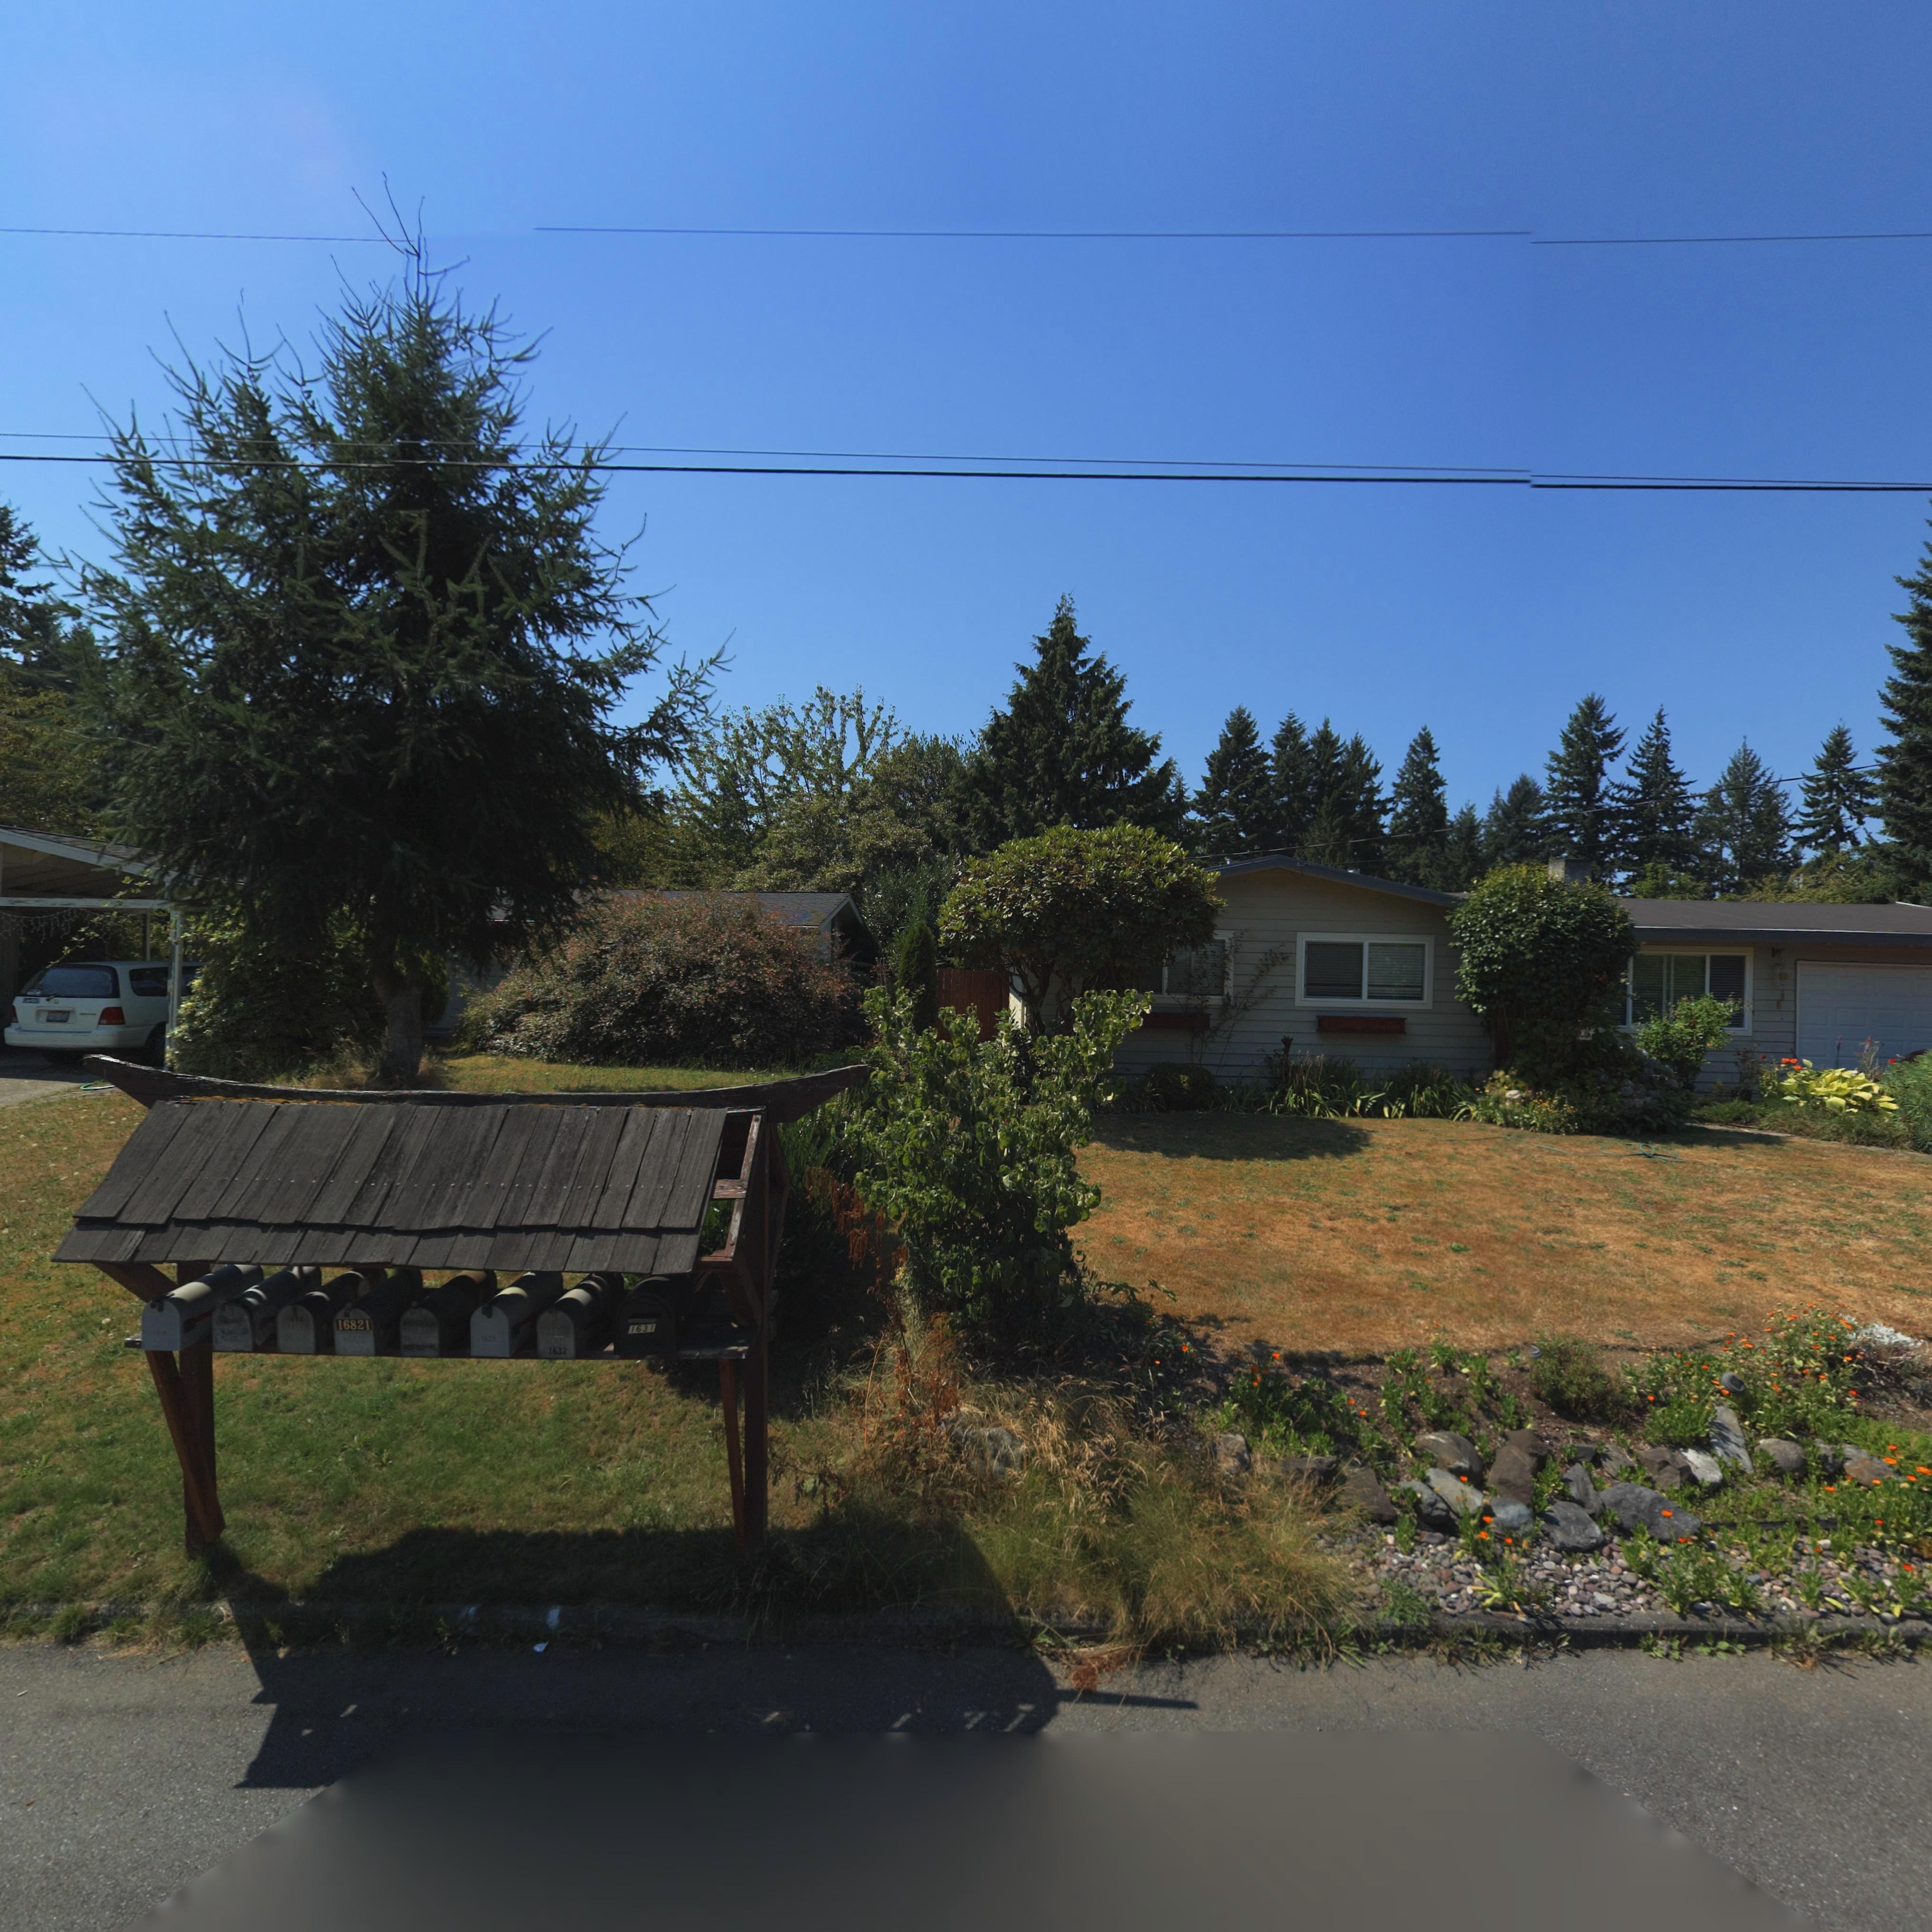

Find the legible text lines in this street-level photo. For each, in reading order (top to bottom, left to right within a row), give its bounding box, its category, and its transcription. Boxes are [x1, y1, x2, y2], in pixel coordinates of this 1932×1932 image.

[337, 1319, 371, 1331] StreetNumber: 16821
[629, 1323, 654, 1333] StreetNumber: 1631
[548, 1346, 568, 1355] StreetNumber: 1632